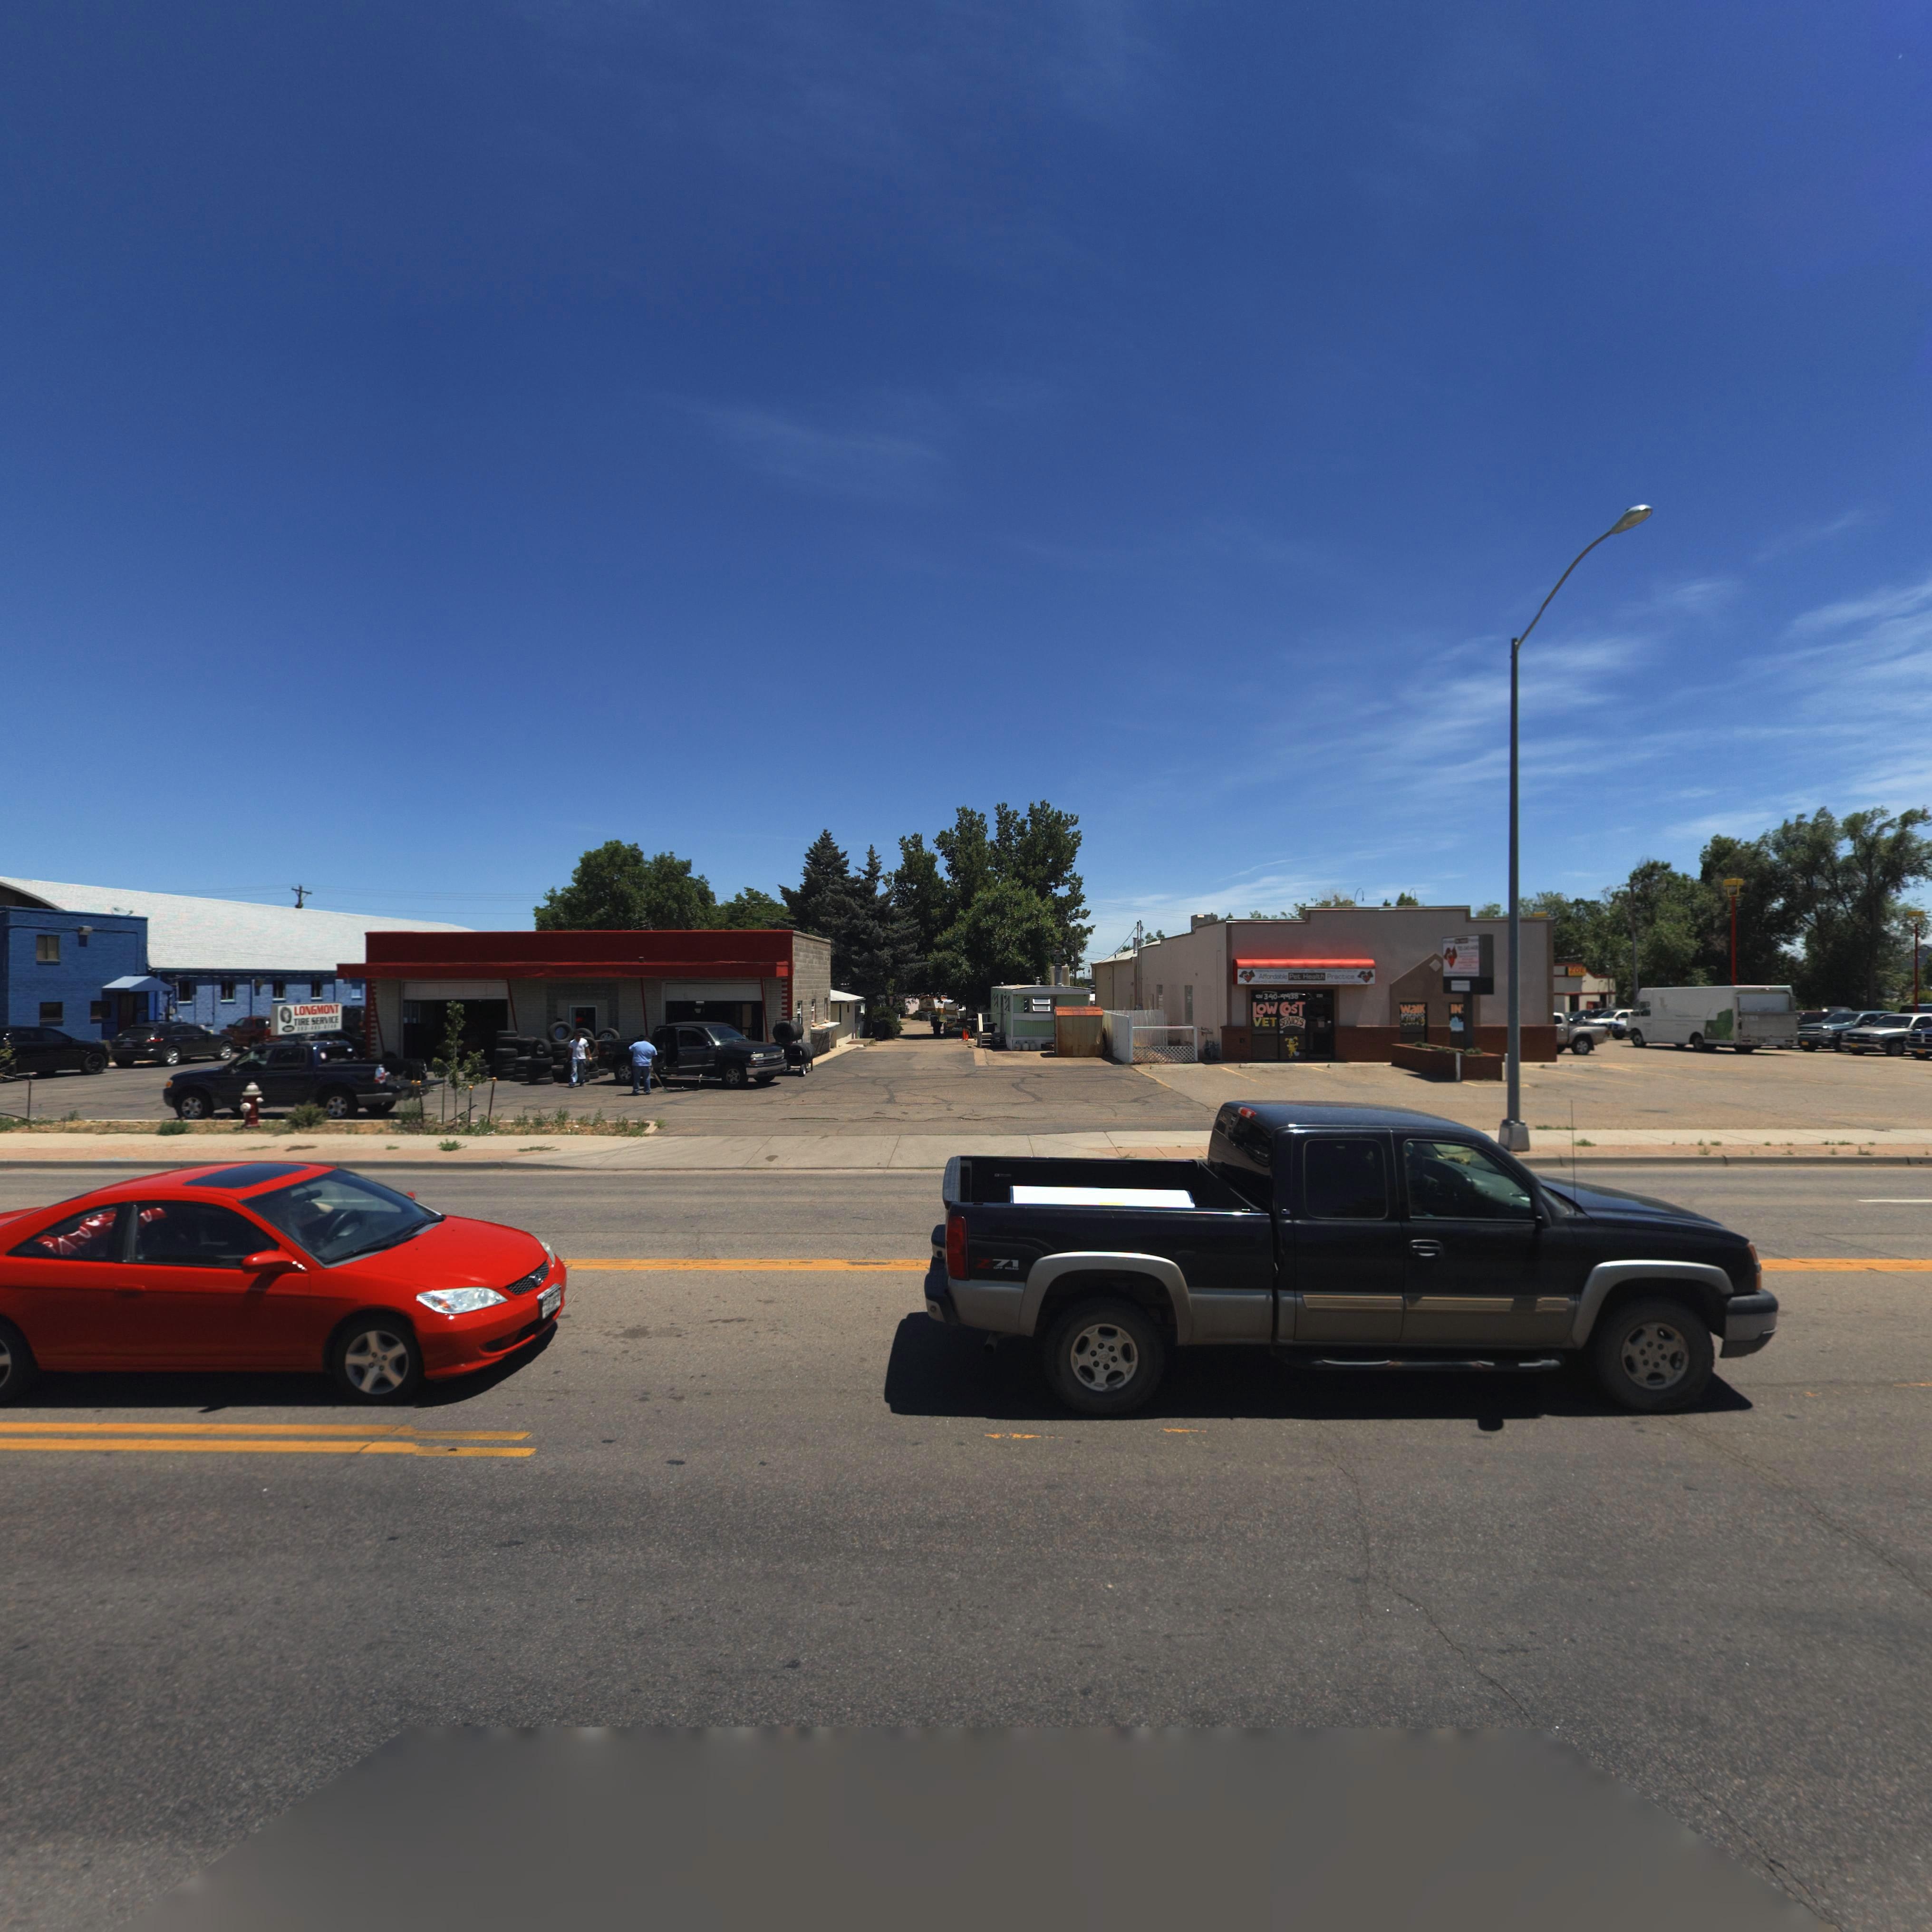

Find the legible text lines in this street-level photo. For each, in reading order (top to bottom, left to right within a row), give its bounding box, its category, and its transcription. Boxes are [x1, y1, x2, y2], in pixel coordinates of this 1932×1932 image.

[1569, 967, 1584, 972] BusinessName: ZOE
[1258, 973, 1354, 979] BusinessName: Affordable Pet HealthPractice
[293, 1004, 339, 1016] BusinessName: BUISNESS
[293, 1015, 339, 1026] BusinessName: TIRE SERVICE